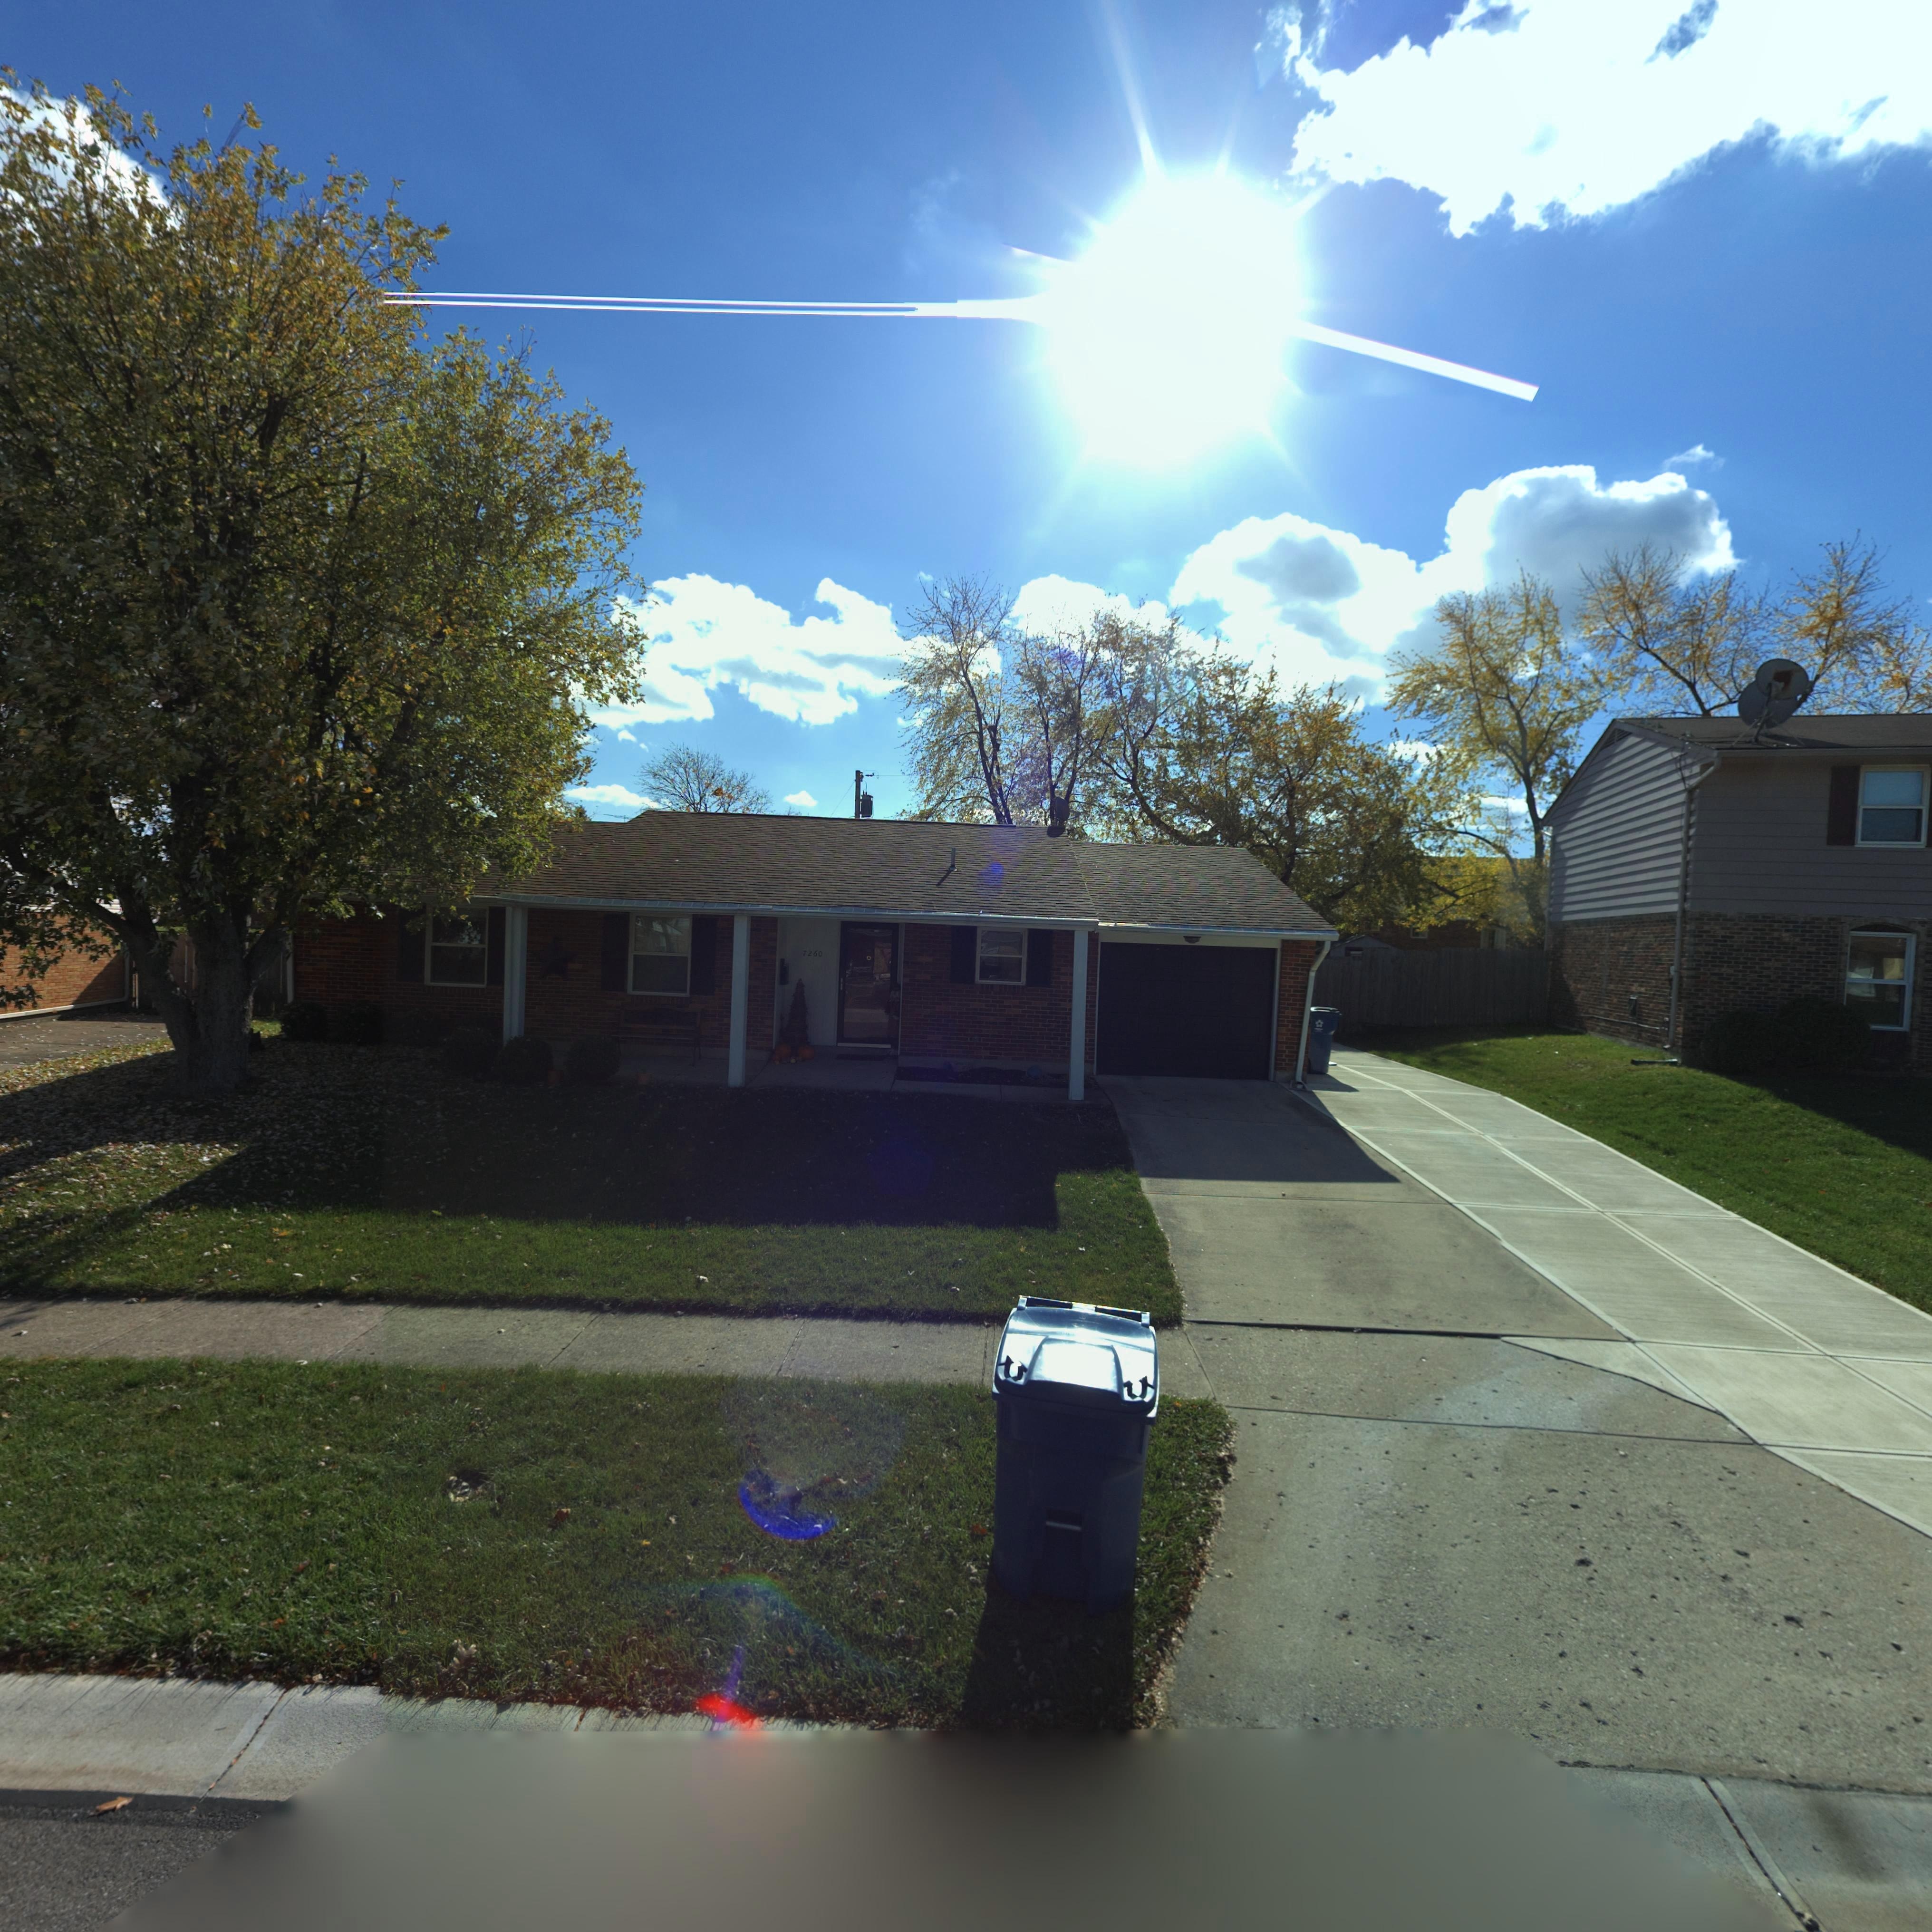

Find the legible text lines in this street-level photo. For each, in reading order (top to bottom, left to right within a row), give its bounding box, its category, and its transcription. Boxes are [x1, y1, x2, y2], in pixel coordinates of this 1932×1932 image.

[802, 949, 823, 958] StreetNumber: 7260